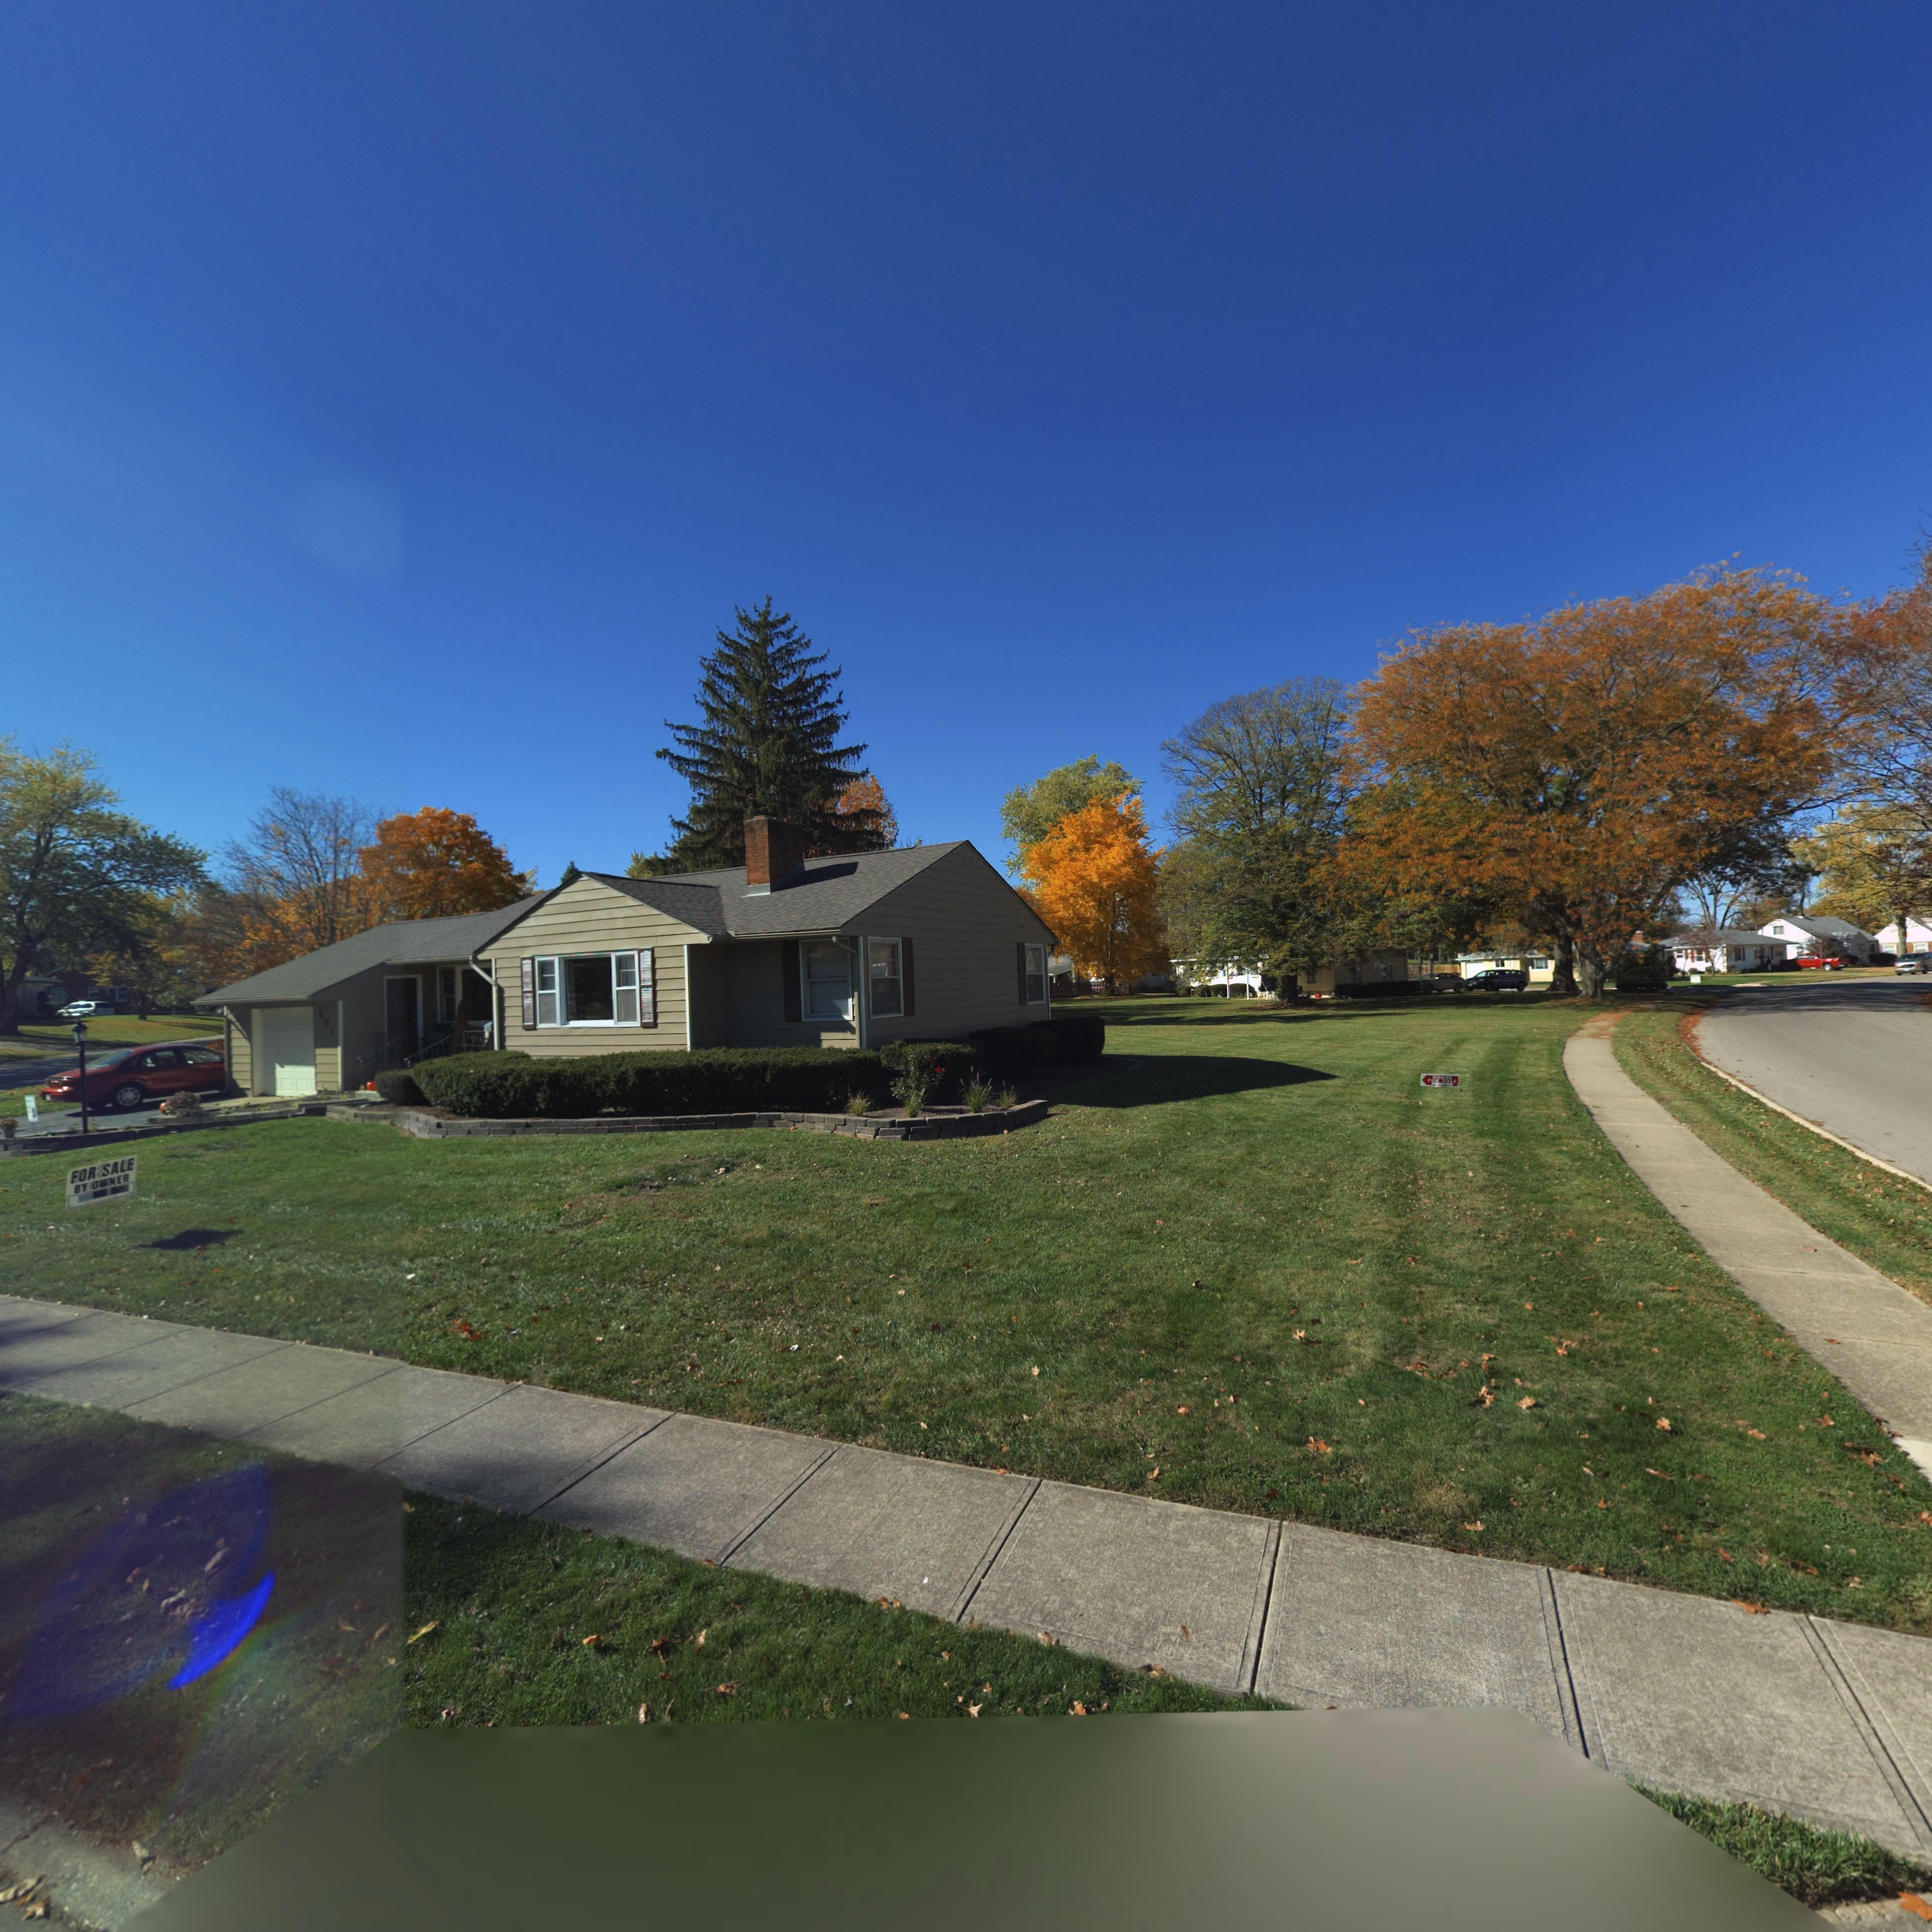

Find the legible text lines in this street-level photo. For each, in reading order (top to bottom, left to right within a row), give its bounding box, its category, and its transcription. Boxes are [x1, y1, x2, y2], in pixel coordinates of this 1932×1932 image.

[317, 1009, 334, 1037] StreetNumber: *01